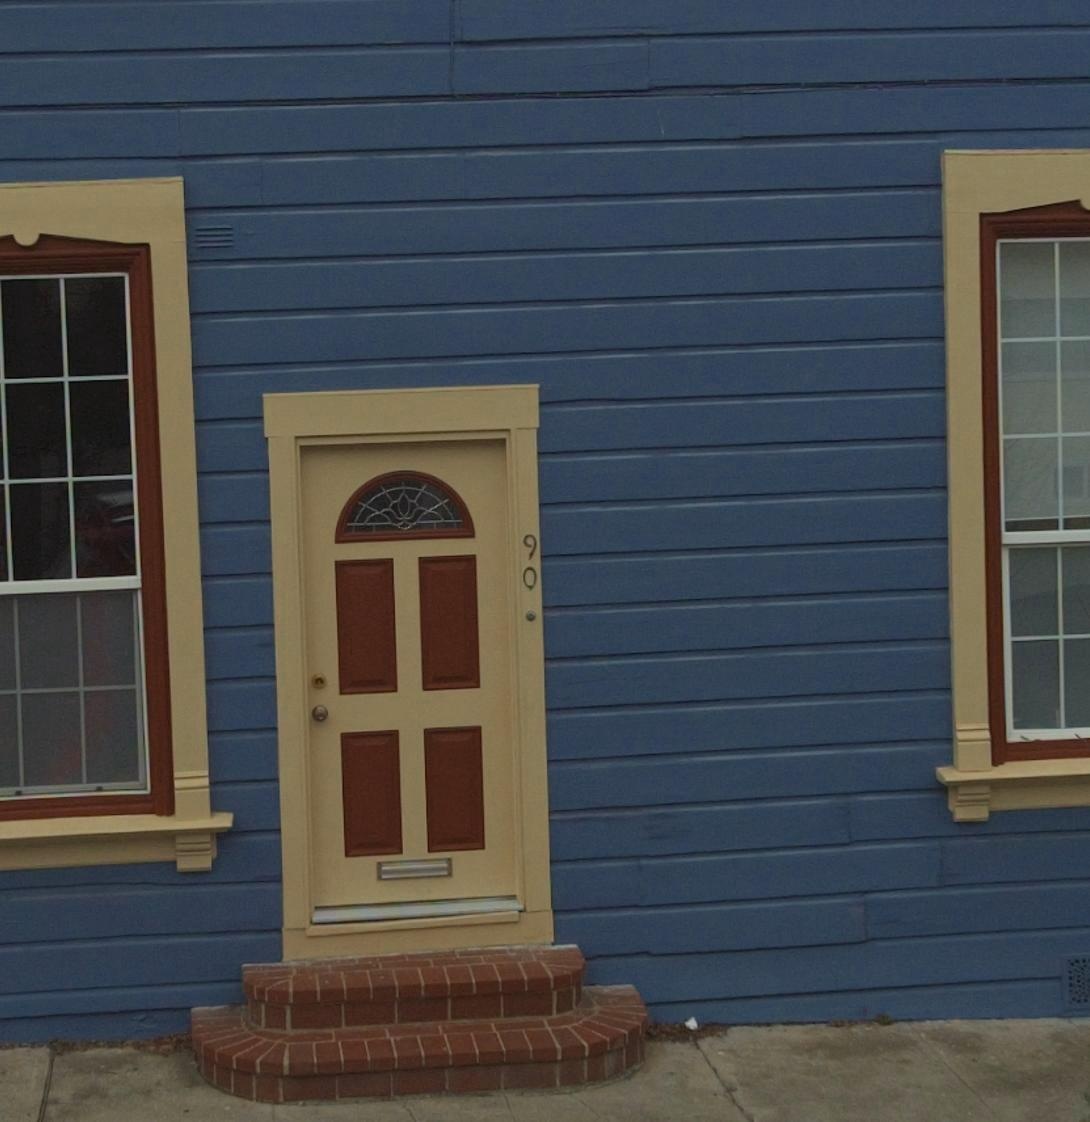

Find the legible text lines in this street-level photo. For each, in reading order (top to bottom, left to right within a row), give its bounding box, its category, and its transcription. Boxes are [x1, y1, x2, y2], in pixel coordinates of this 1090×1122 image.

[521, 532, 539, 592] StreetNumber: 90